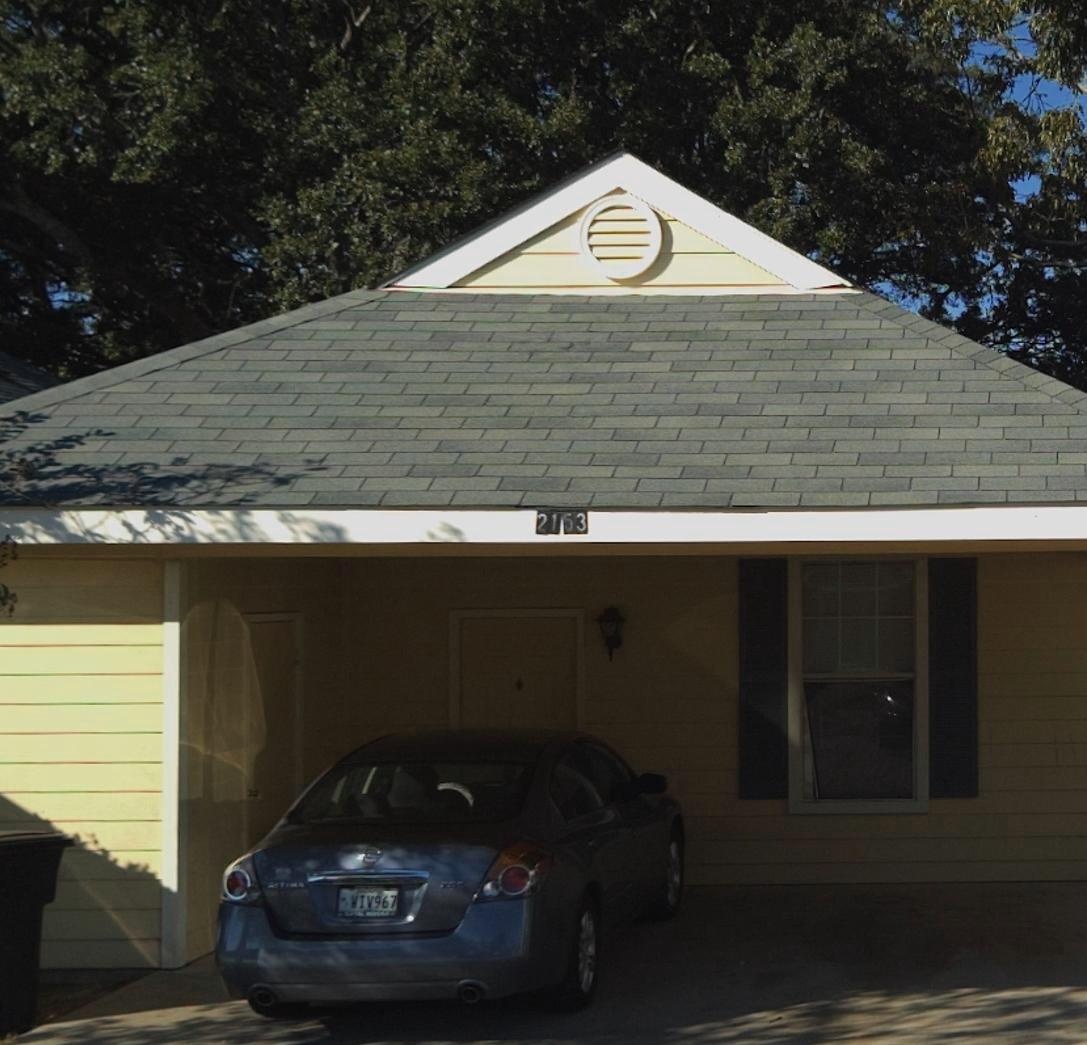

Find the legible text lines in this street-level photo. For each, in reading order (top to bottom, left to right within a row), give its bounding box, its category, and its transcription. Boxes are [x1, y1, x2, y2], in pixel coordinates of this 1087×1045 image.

[537, 511, 588, 534] StreetNumber: 2153
[349, 894, 399, 910] None: *IV967